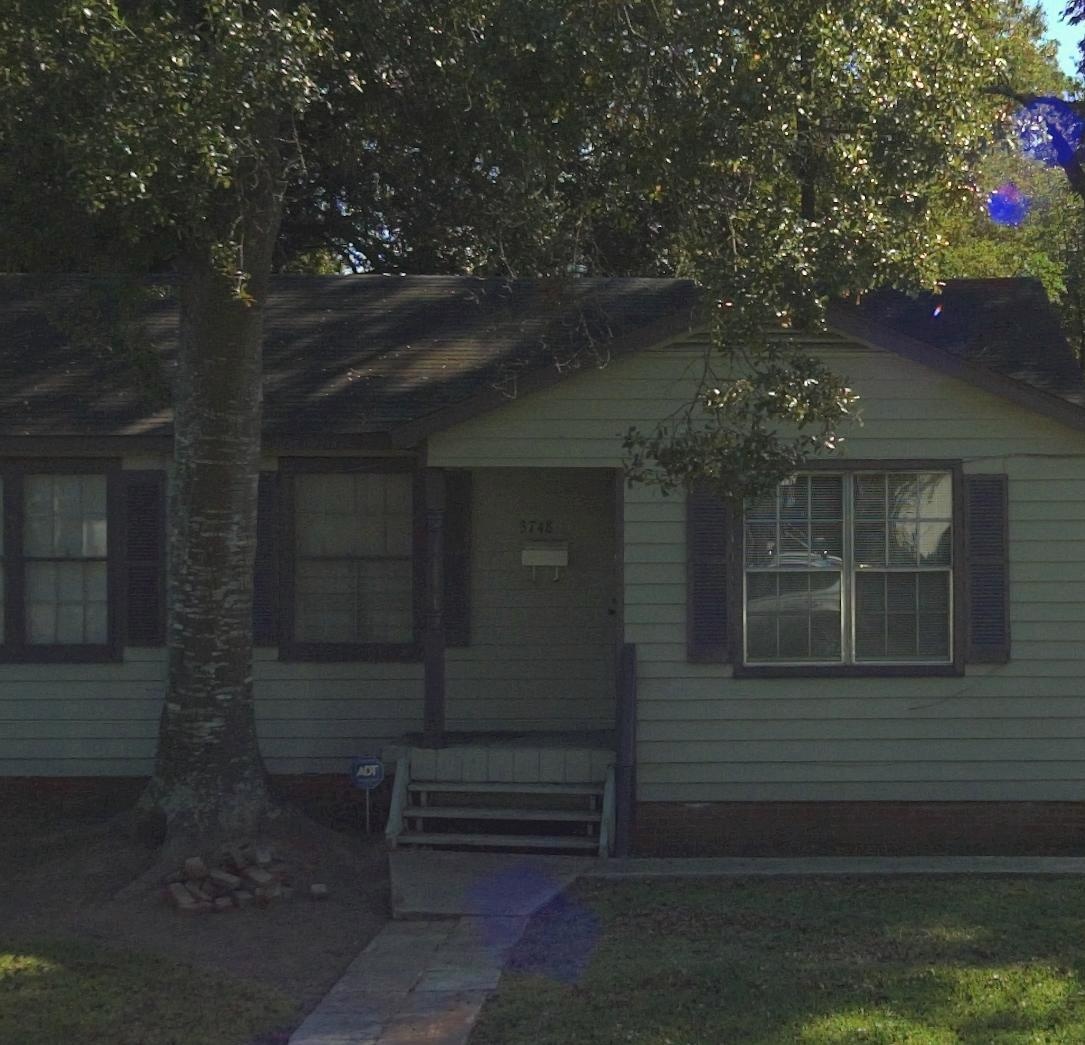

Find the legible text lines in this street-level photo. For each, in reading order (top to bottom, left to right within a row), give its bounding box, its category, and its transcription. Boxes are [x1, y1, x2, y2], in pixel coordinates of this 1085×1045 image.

[517, 517, 556, 536] StreetNumber: 3748
[354, 764, 380, 777] None: ADT